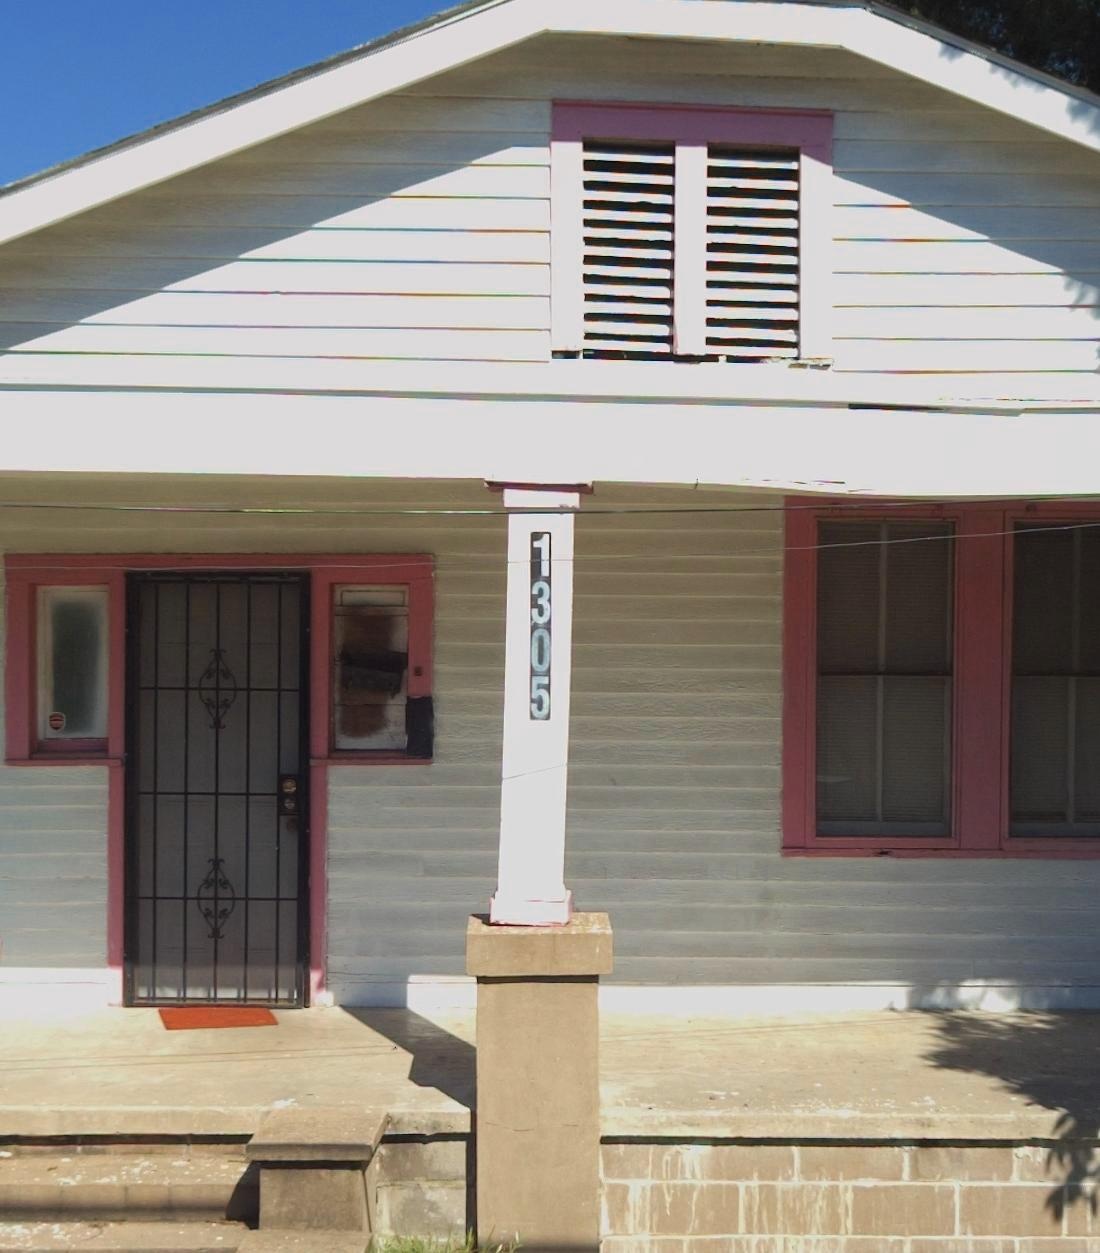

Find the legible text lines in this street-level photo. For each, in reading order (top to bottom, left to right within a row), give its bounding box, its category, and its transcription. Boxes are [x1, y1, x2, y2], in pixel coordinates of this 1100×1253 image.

[529, 530, 552, 721] StreetNumber: 1305